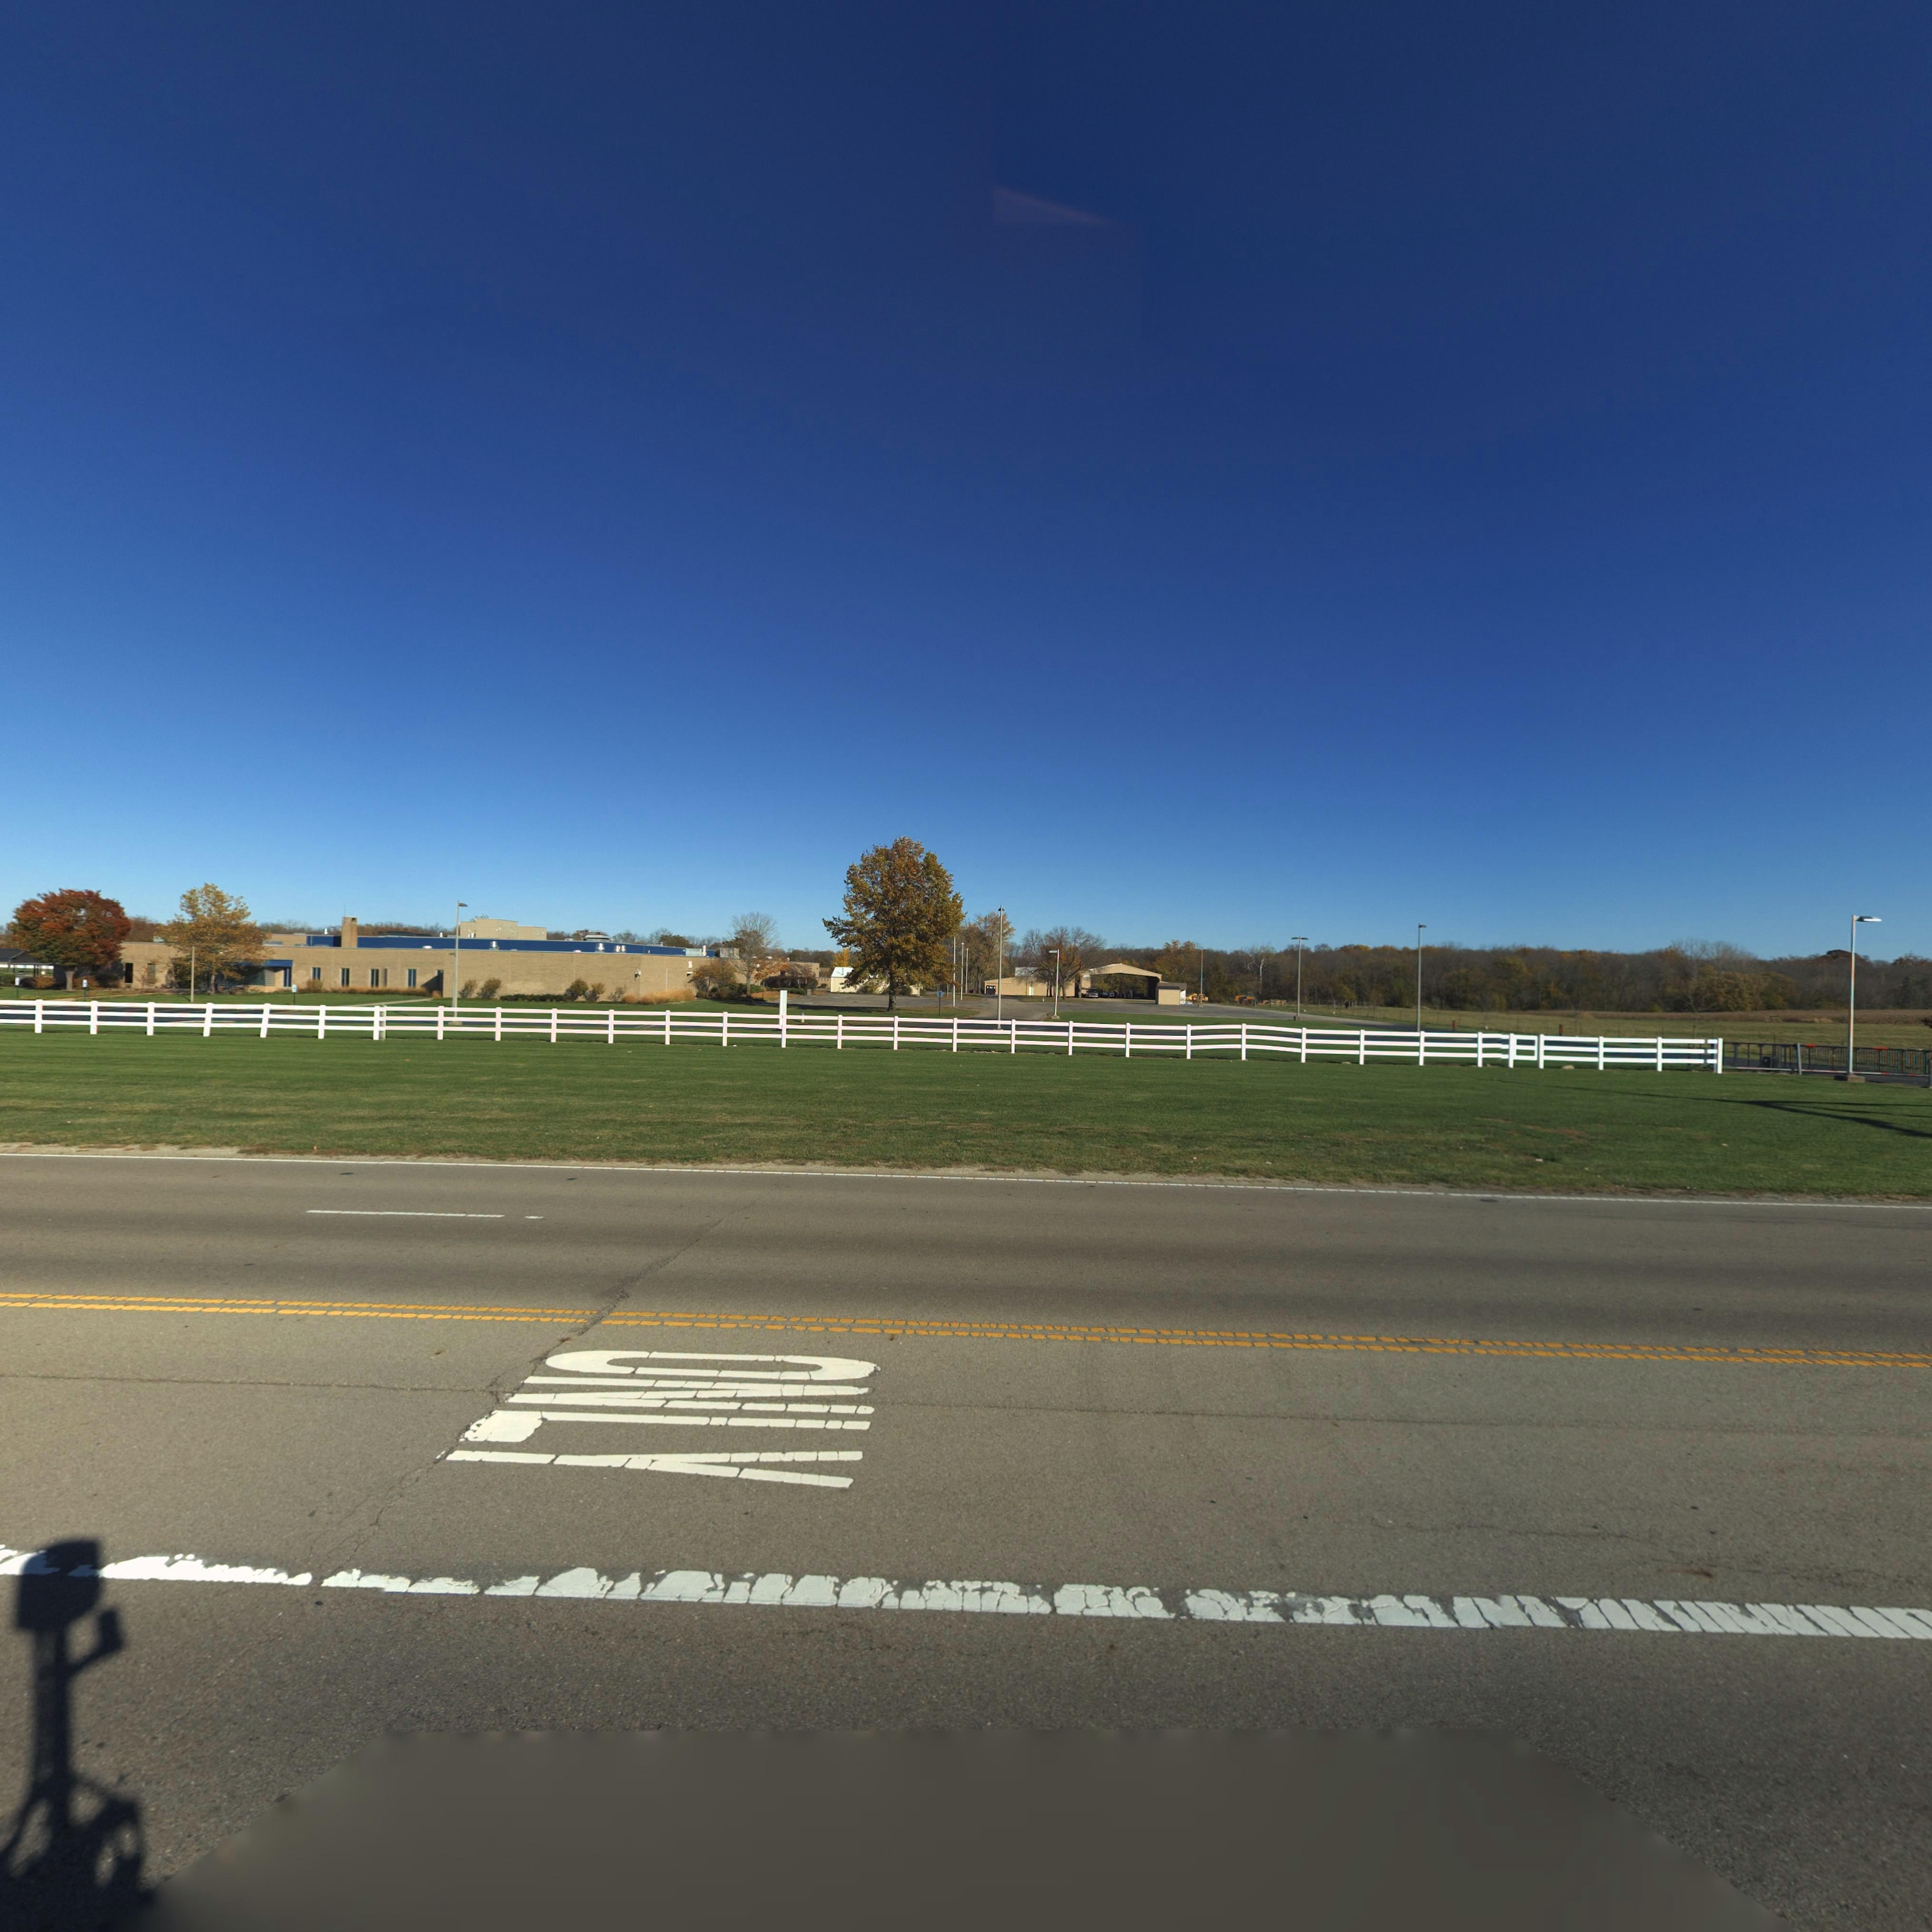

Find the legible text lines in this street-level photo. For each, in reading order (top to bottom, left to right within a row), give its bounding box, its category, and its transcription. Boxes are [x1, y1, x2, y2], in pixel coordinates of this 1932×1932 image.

[688, 961, 693, 968] StreetNumber: 15